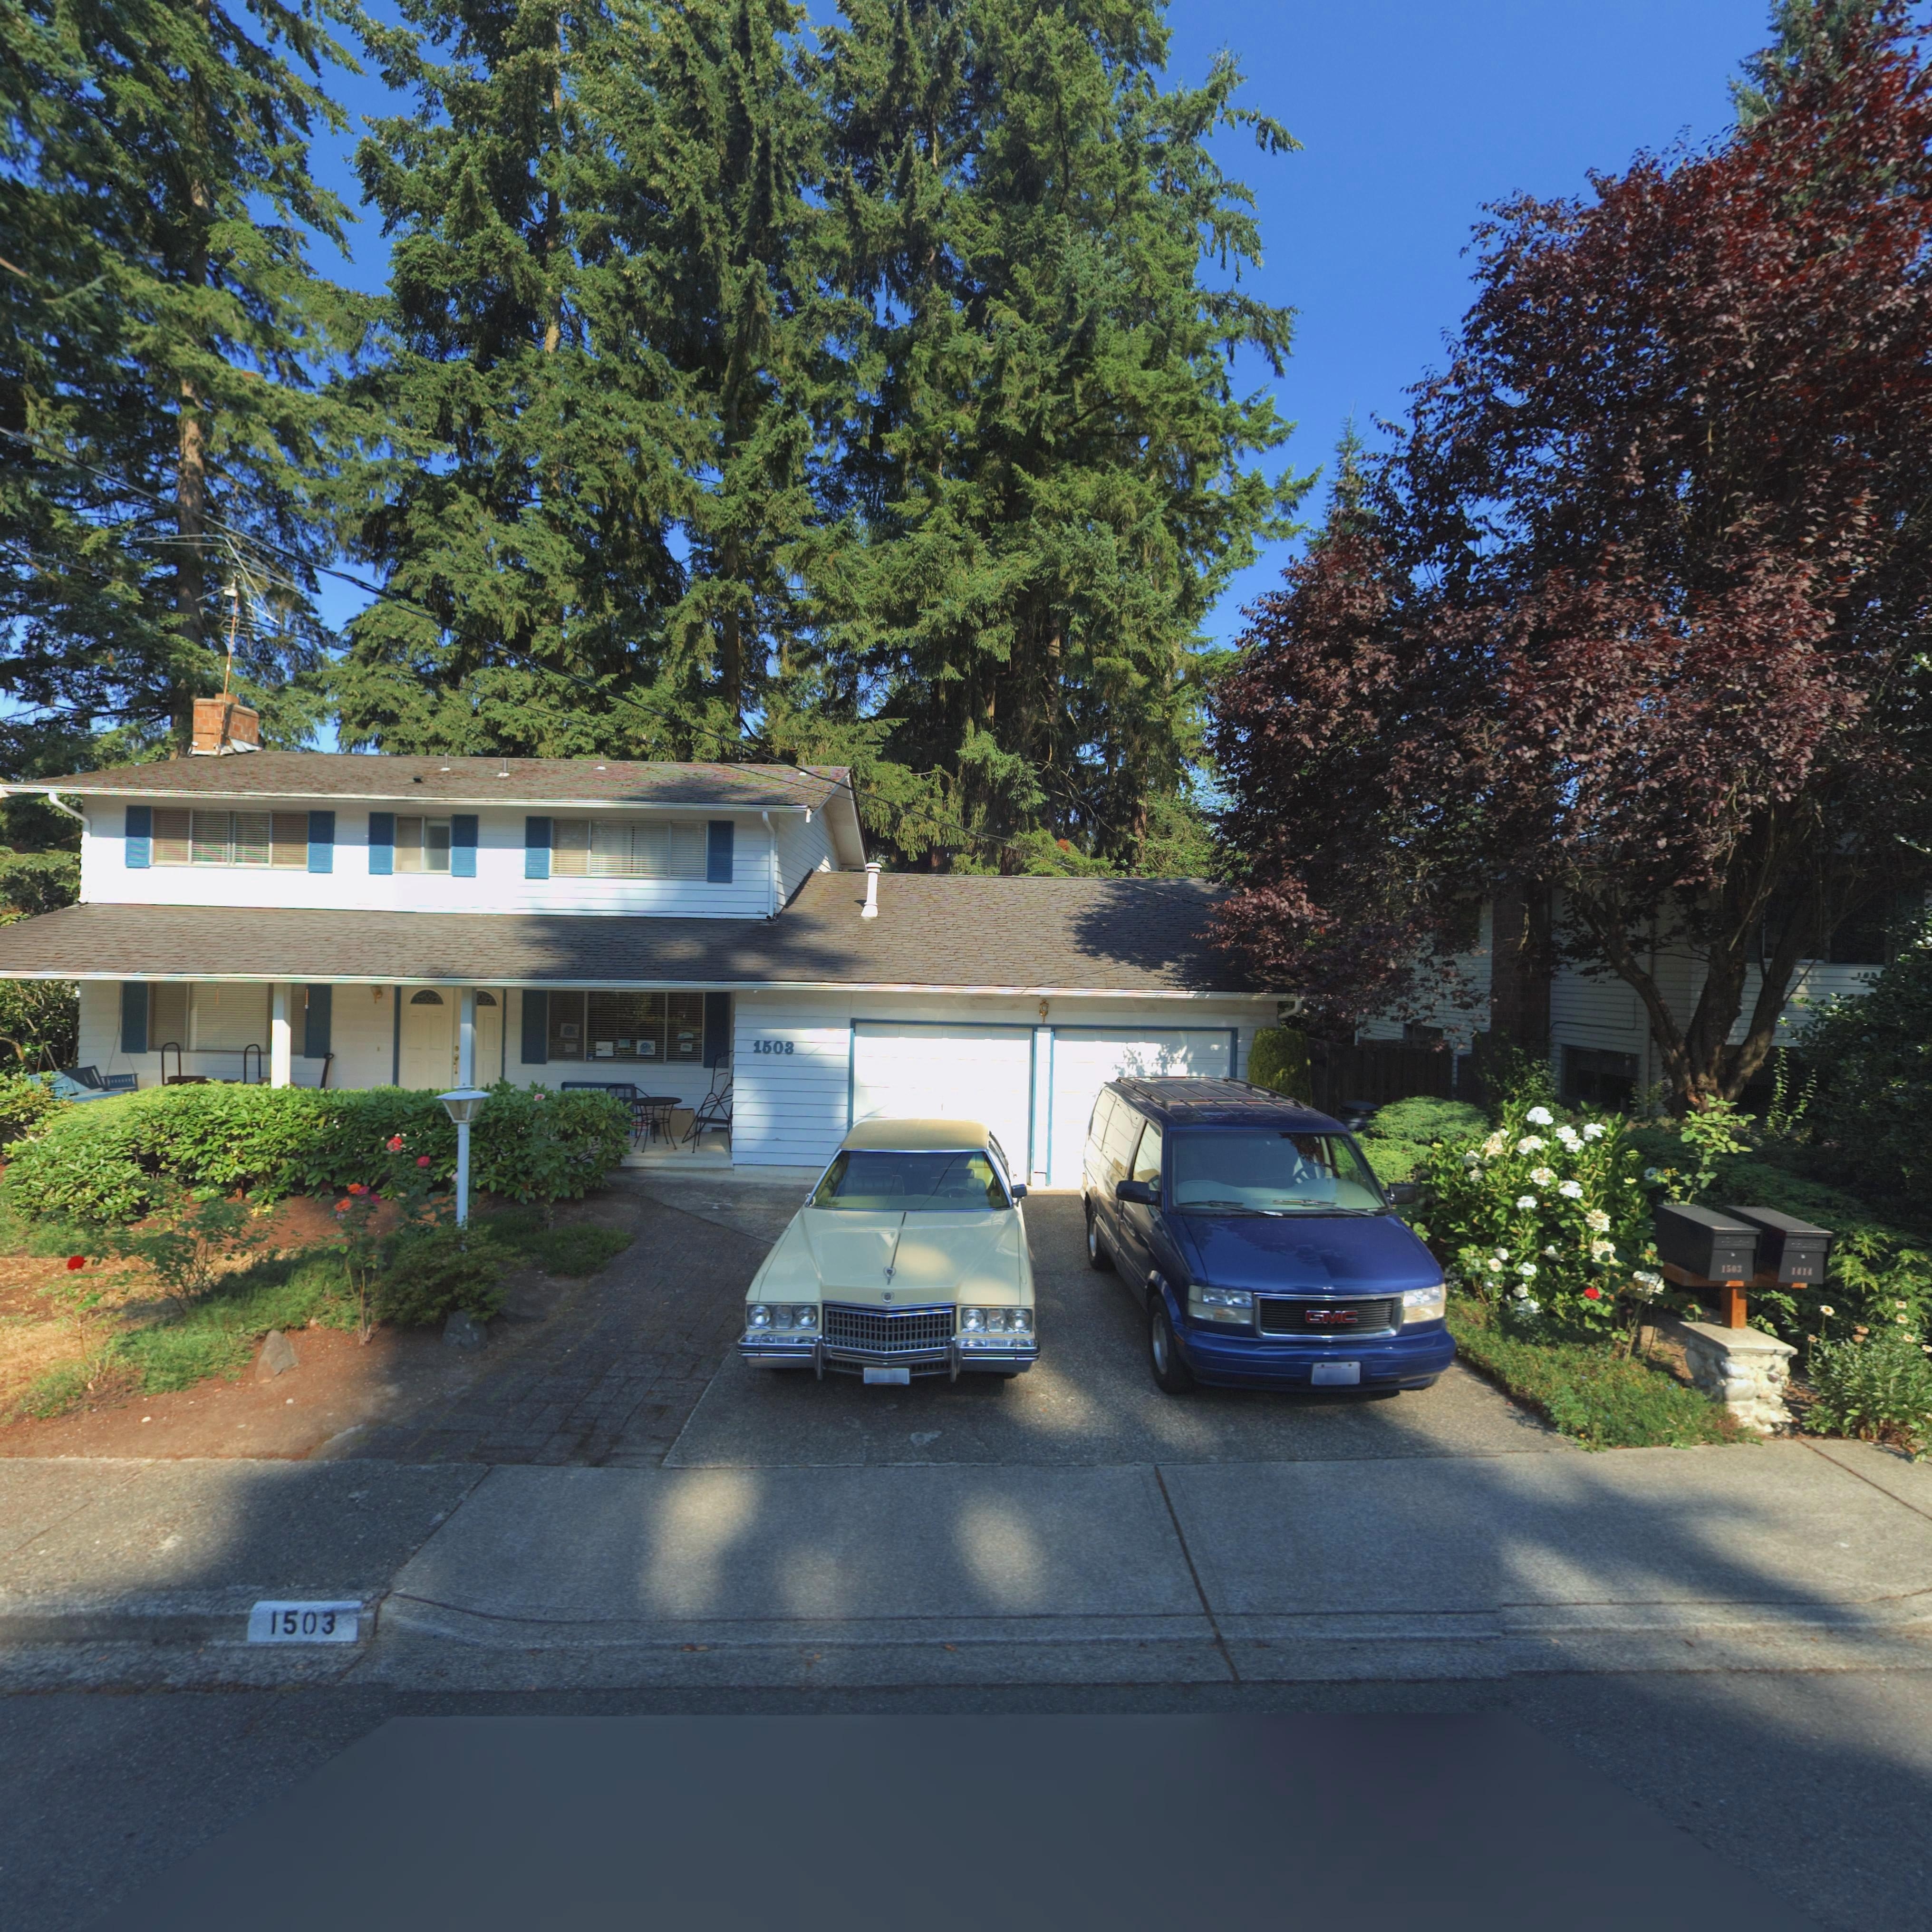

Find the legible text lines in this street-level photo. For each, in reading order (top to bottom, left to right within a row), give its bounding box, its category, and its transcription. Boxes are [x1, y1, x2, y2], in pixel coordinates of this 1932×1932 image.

[752, 1039, 796, 1054] StreetNumber: 1503
[1721, 1263, 1742, 1274] StreetNumber: 1503
[1789, 1266, 1813, 1277] StreetNumber: 1414
[270, 1609, 338, 1637] StreetNumber: 1503